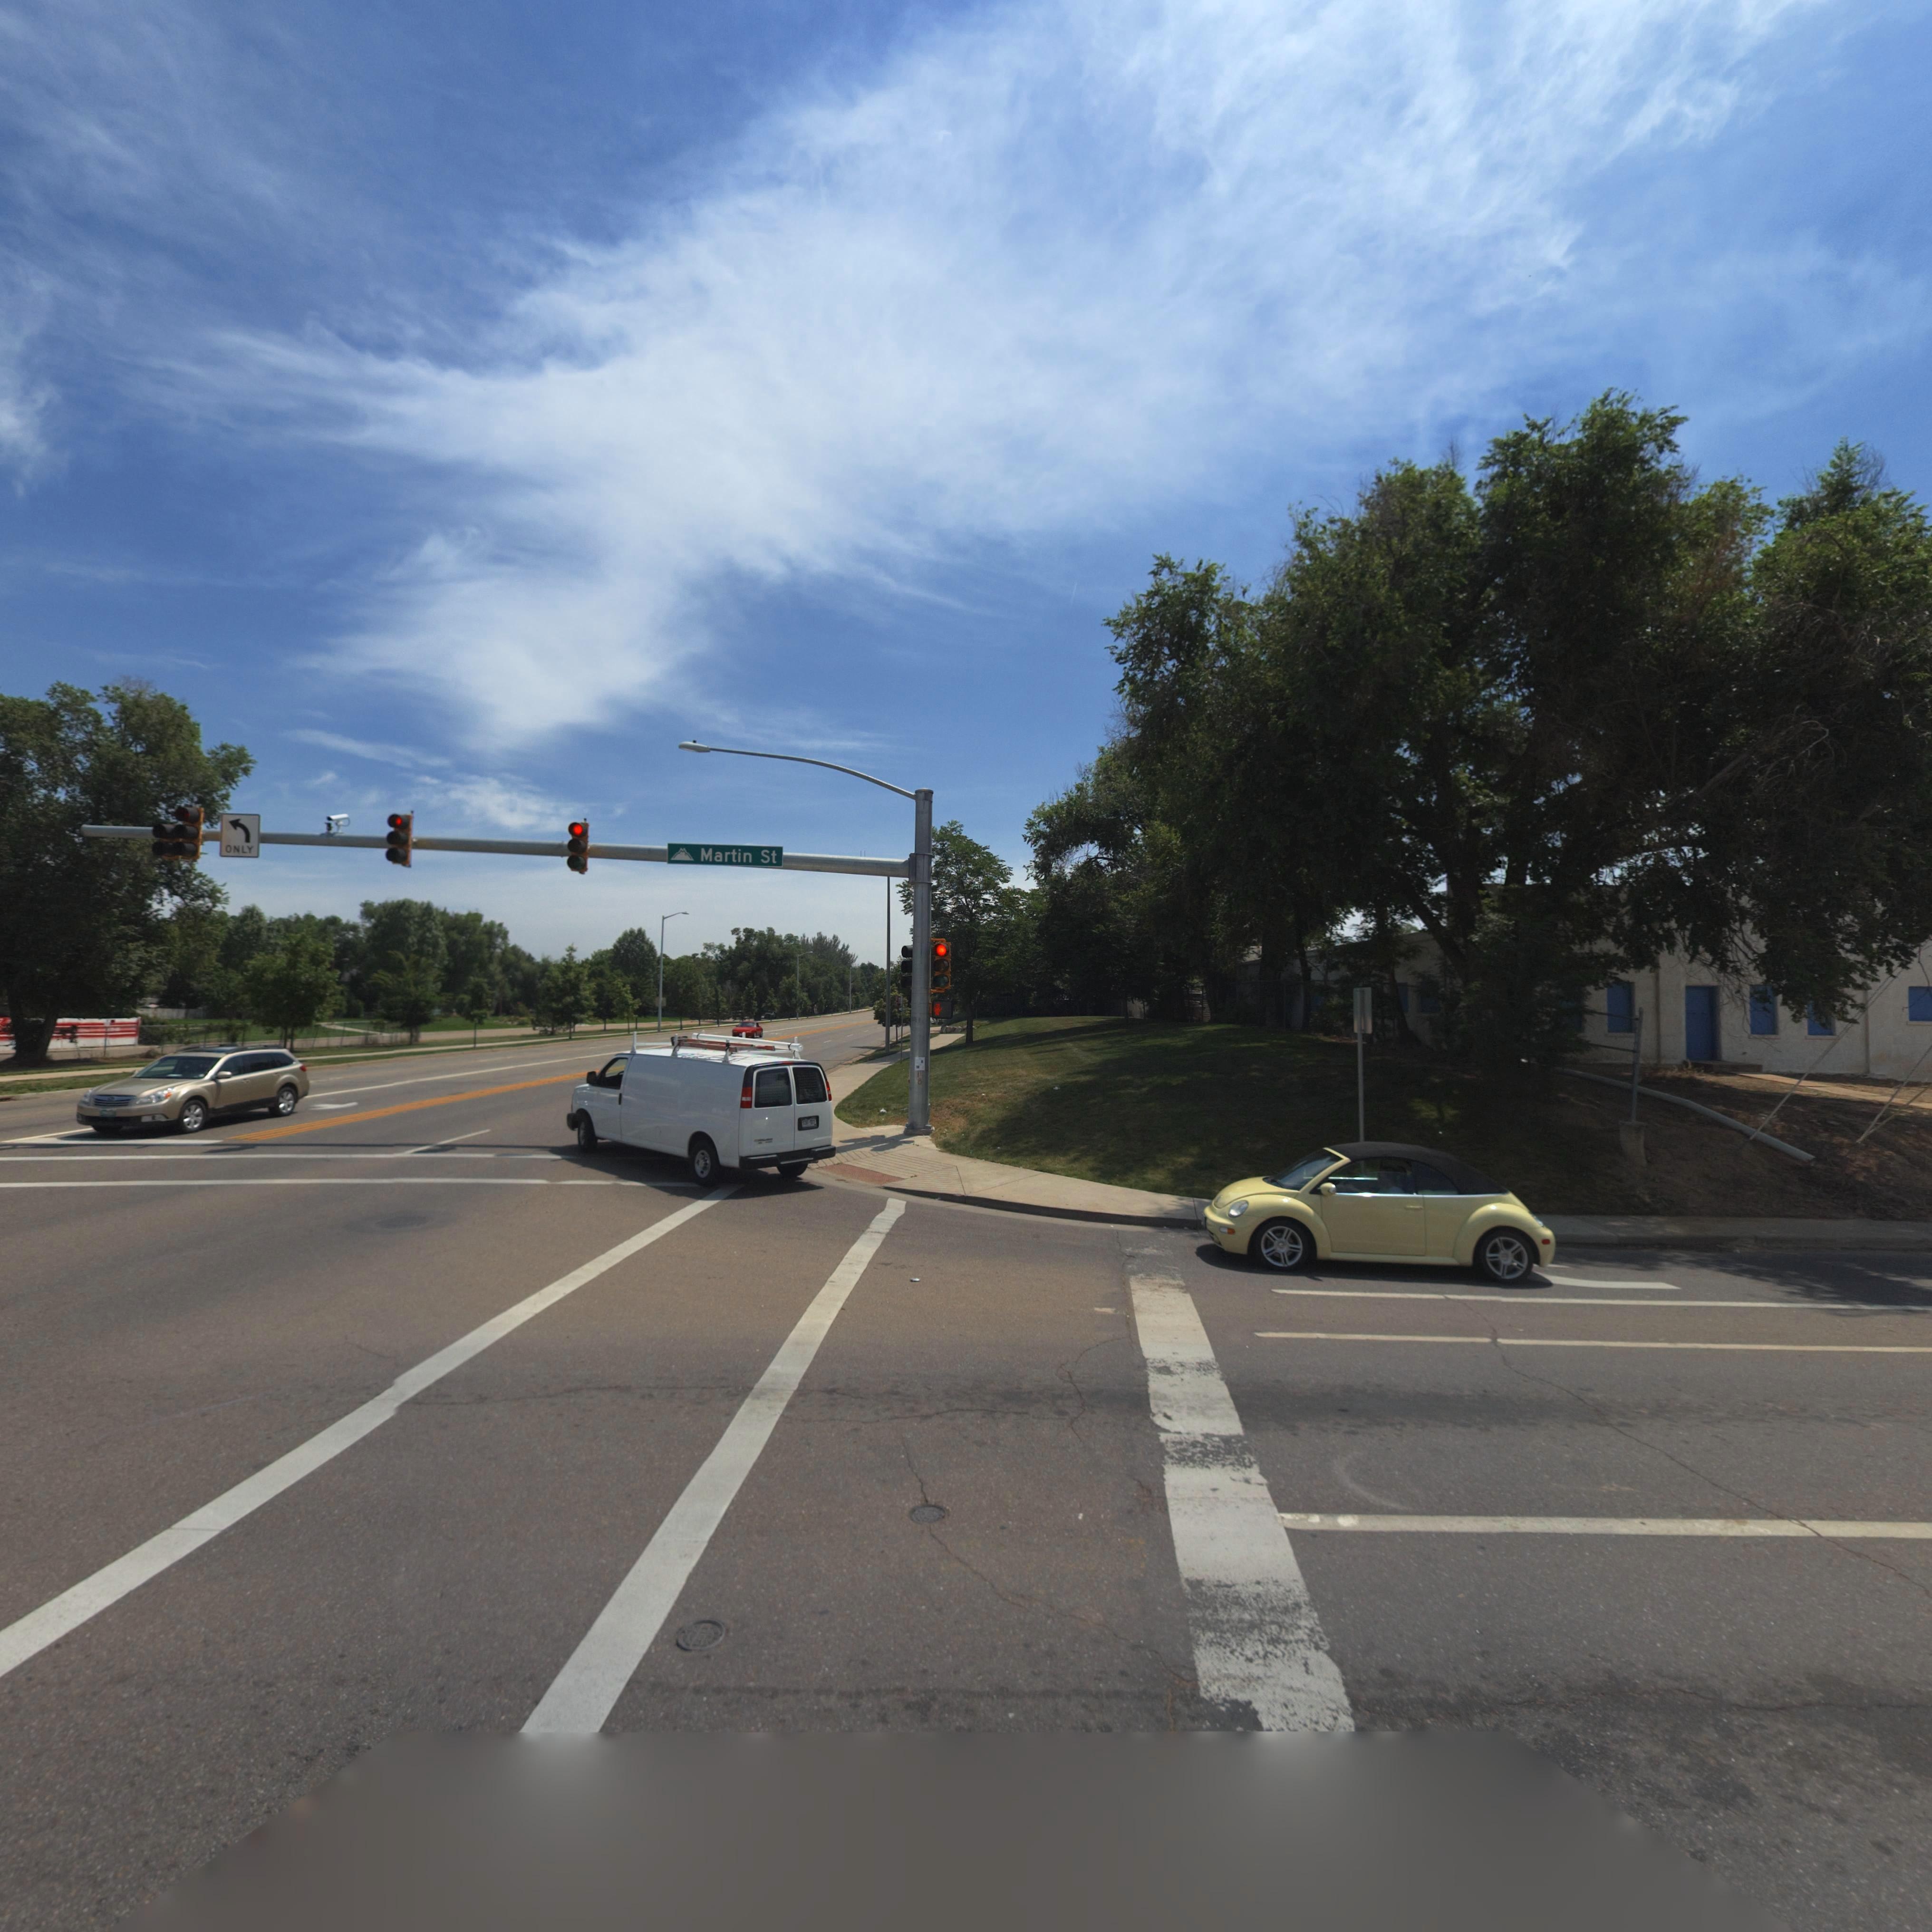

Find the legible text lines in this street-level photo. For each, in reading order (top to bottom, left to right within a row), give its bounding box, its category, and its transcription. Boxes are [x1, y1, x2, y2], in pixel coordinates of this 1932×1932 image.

[700, 847, 777, 864] StreetName: Martin St